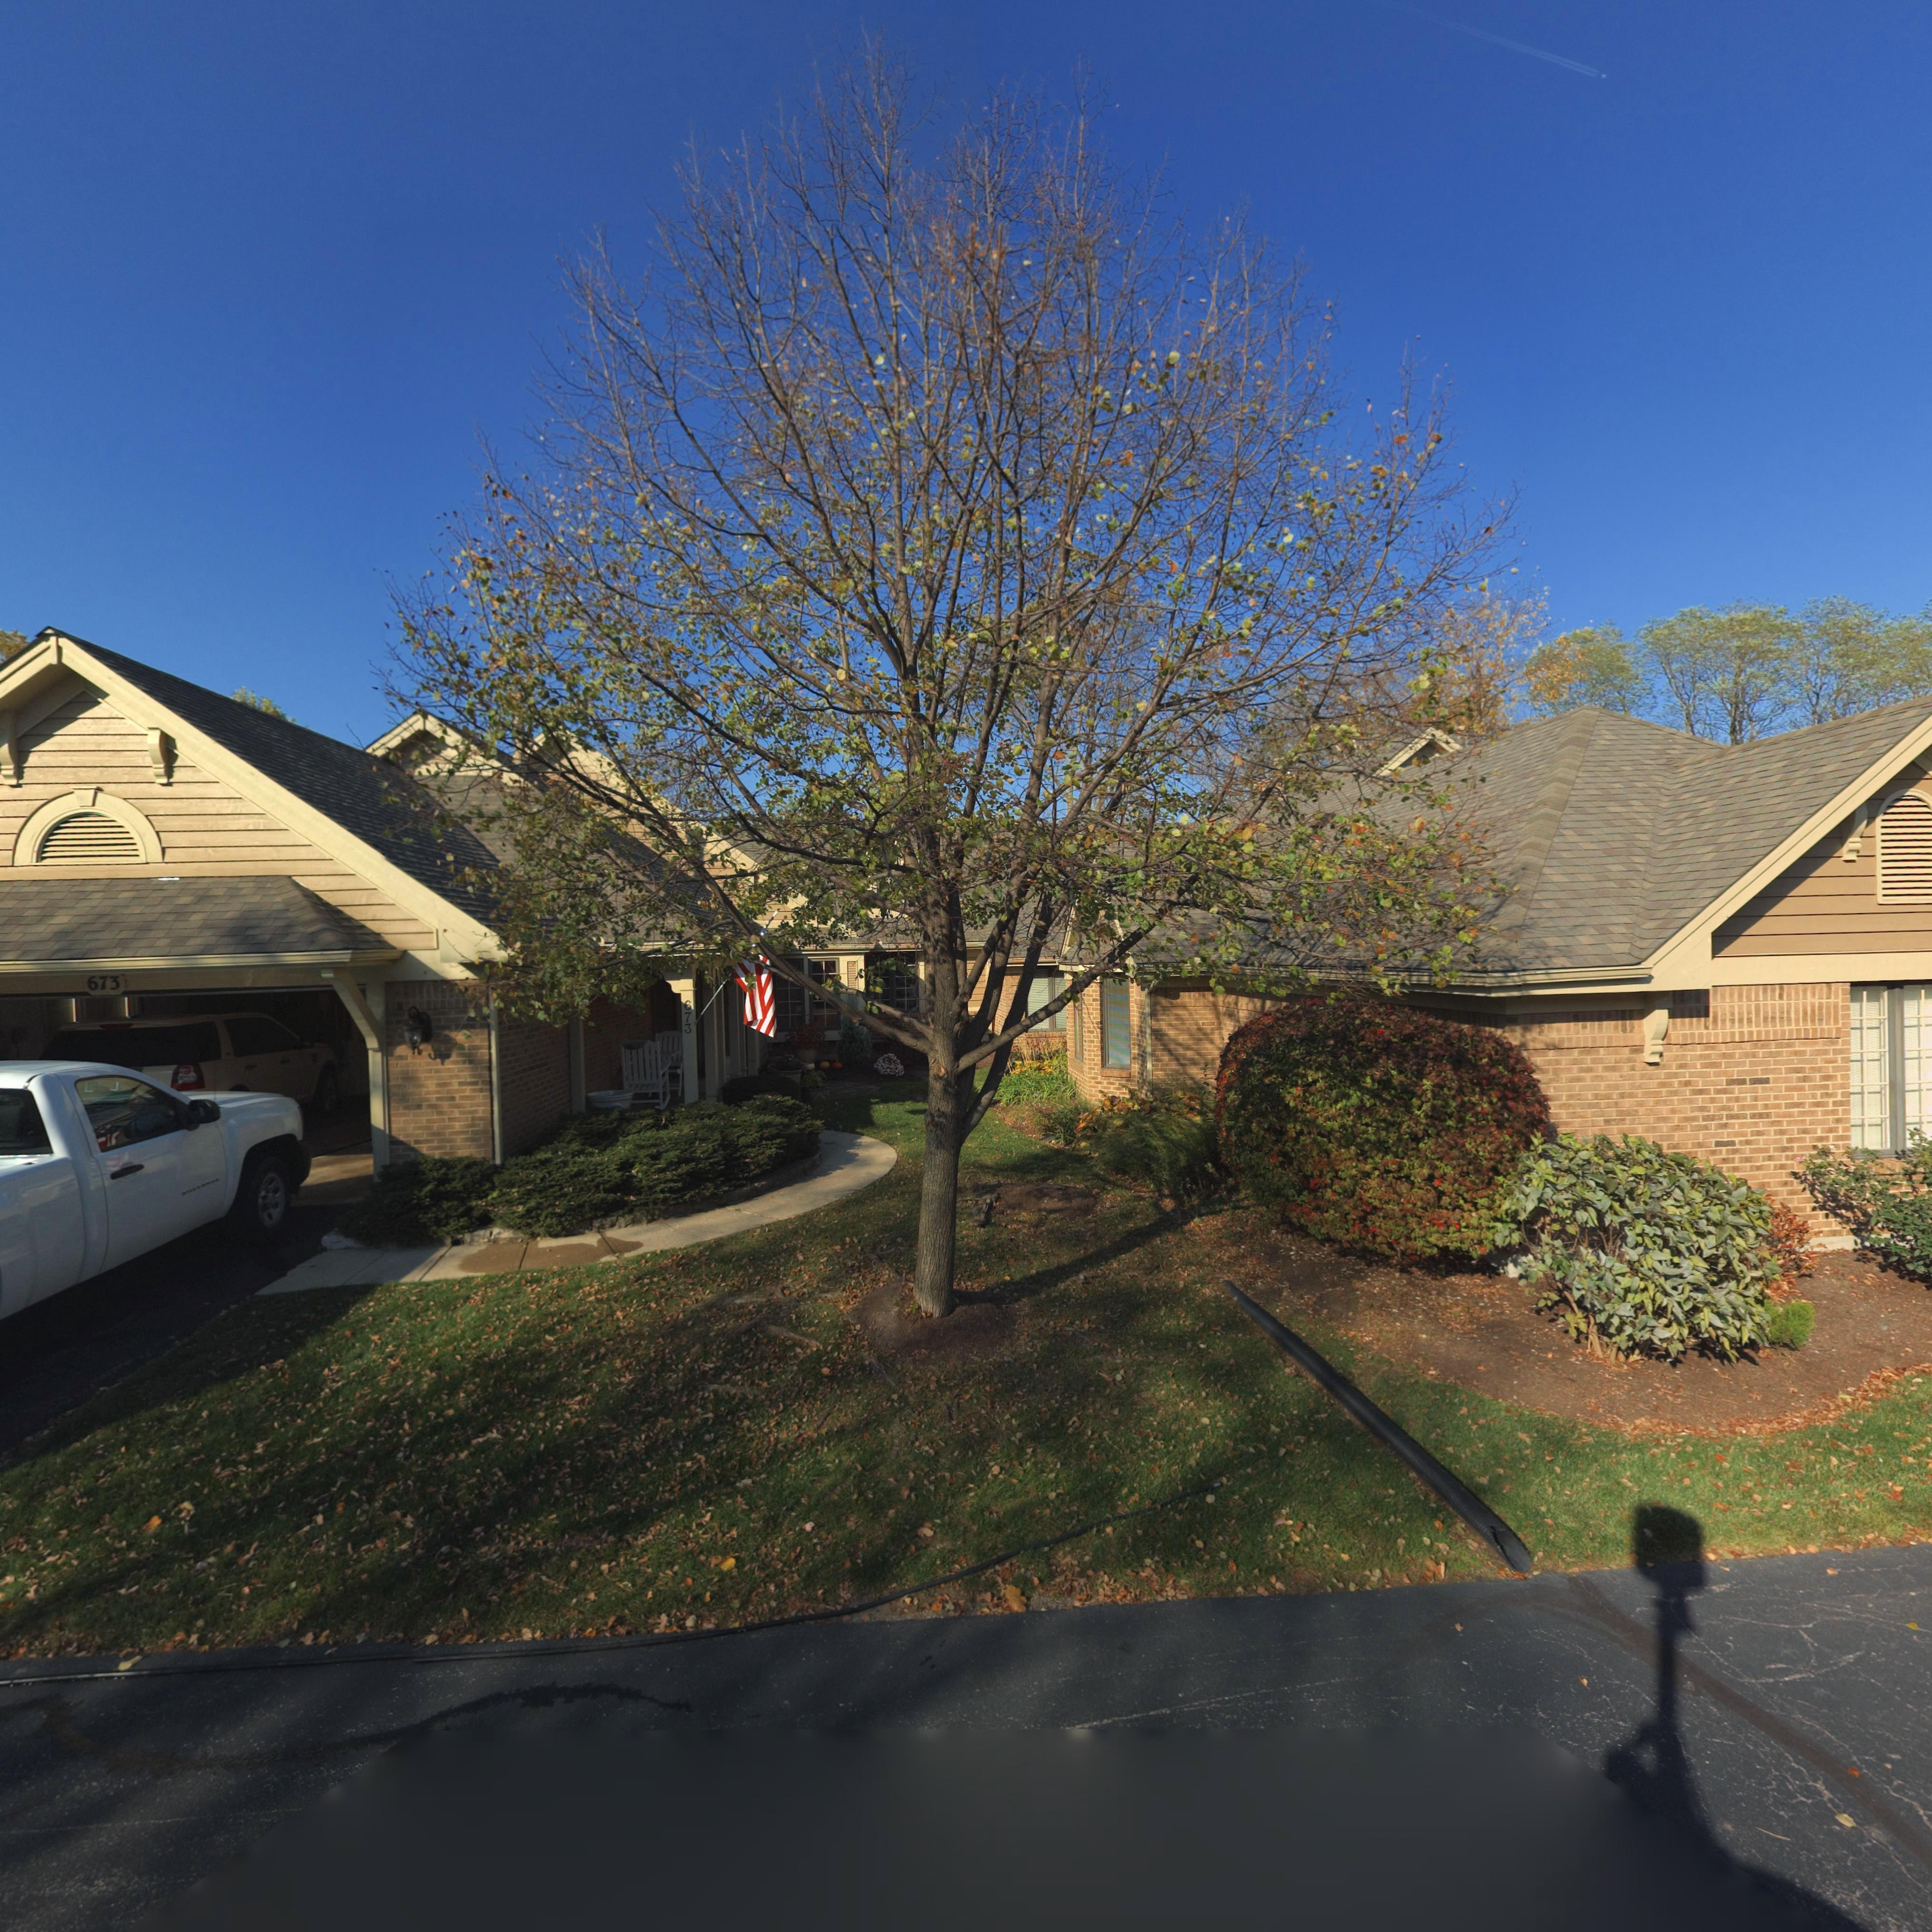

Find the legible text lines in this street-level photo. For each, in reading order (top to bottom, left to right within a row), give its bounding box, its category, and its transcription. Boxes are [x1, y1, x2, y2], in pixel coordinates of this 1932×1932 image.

[86, 975, 121, 992] StreetNumber: 673
[684, 999, 693, 1035] StreetNumber: 673